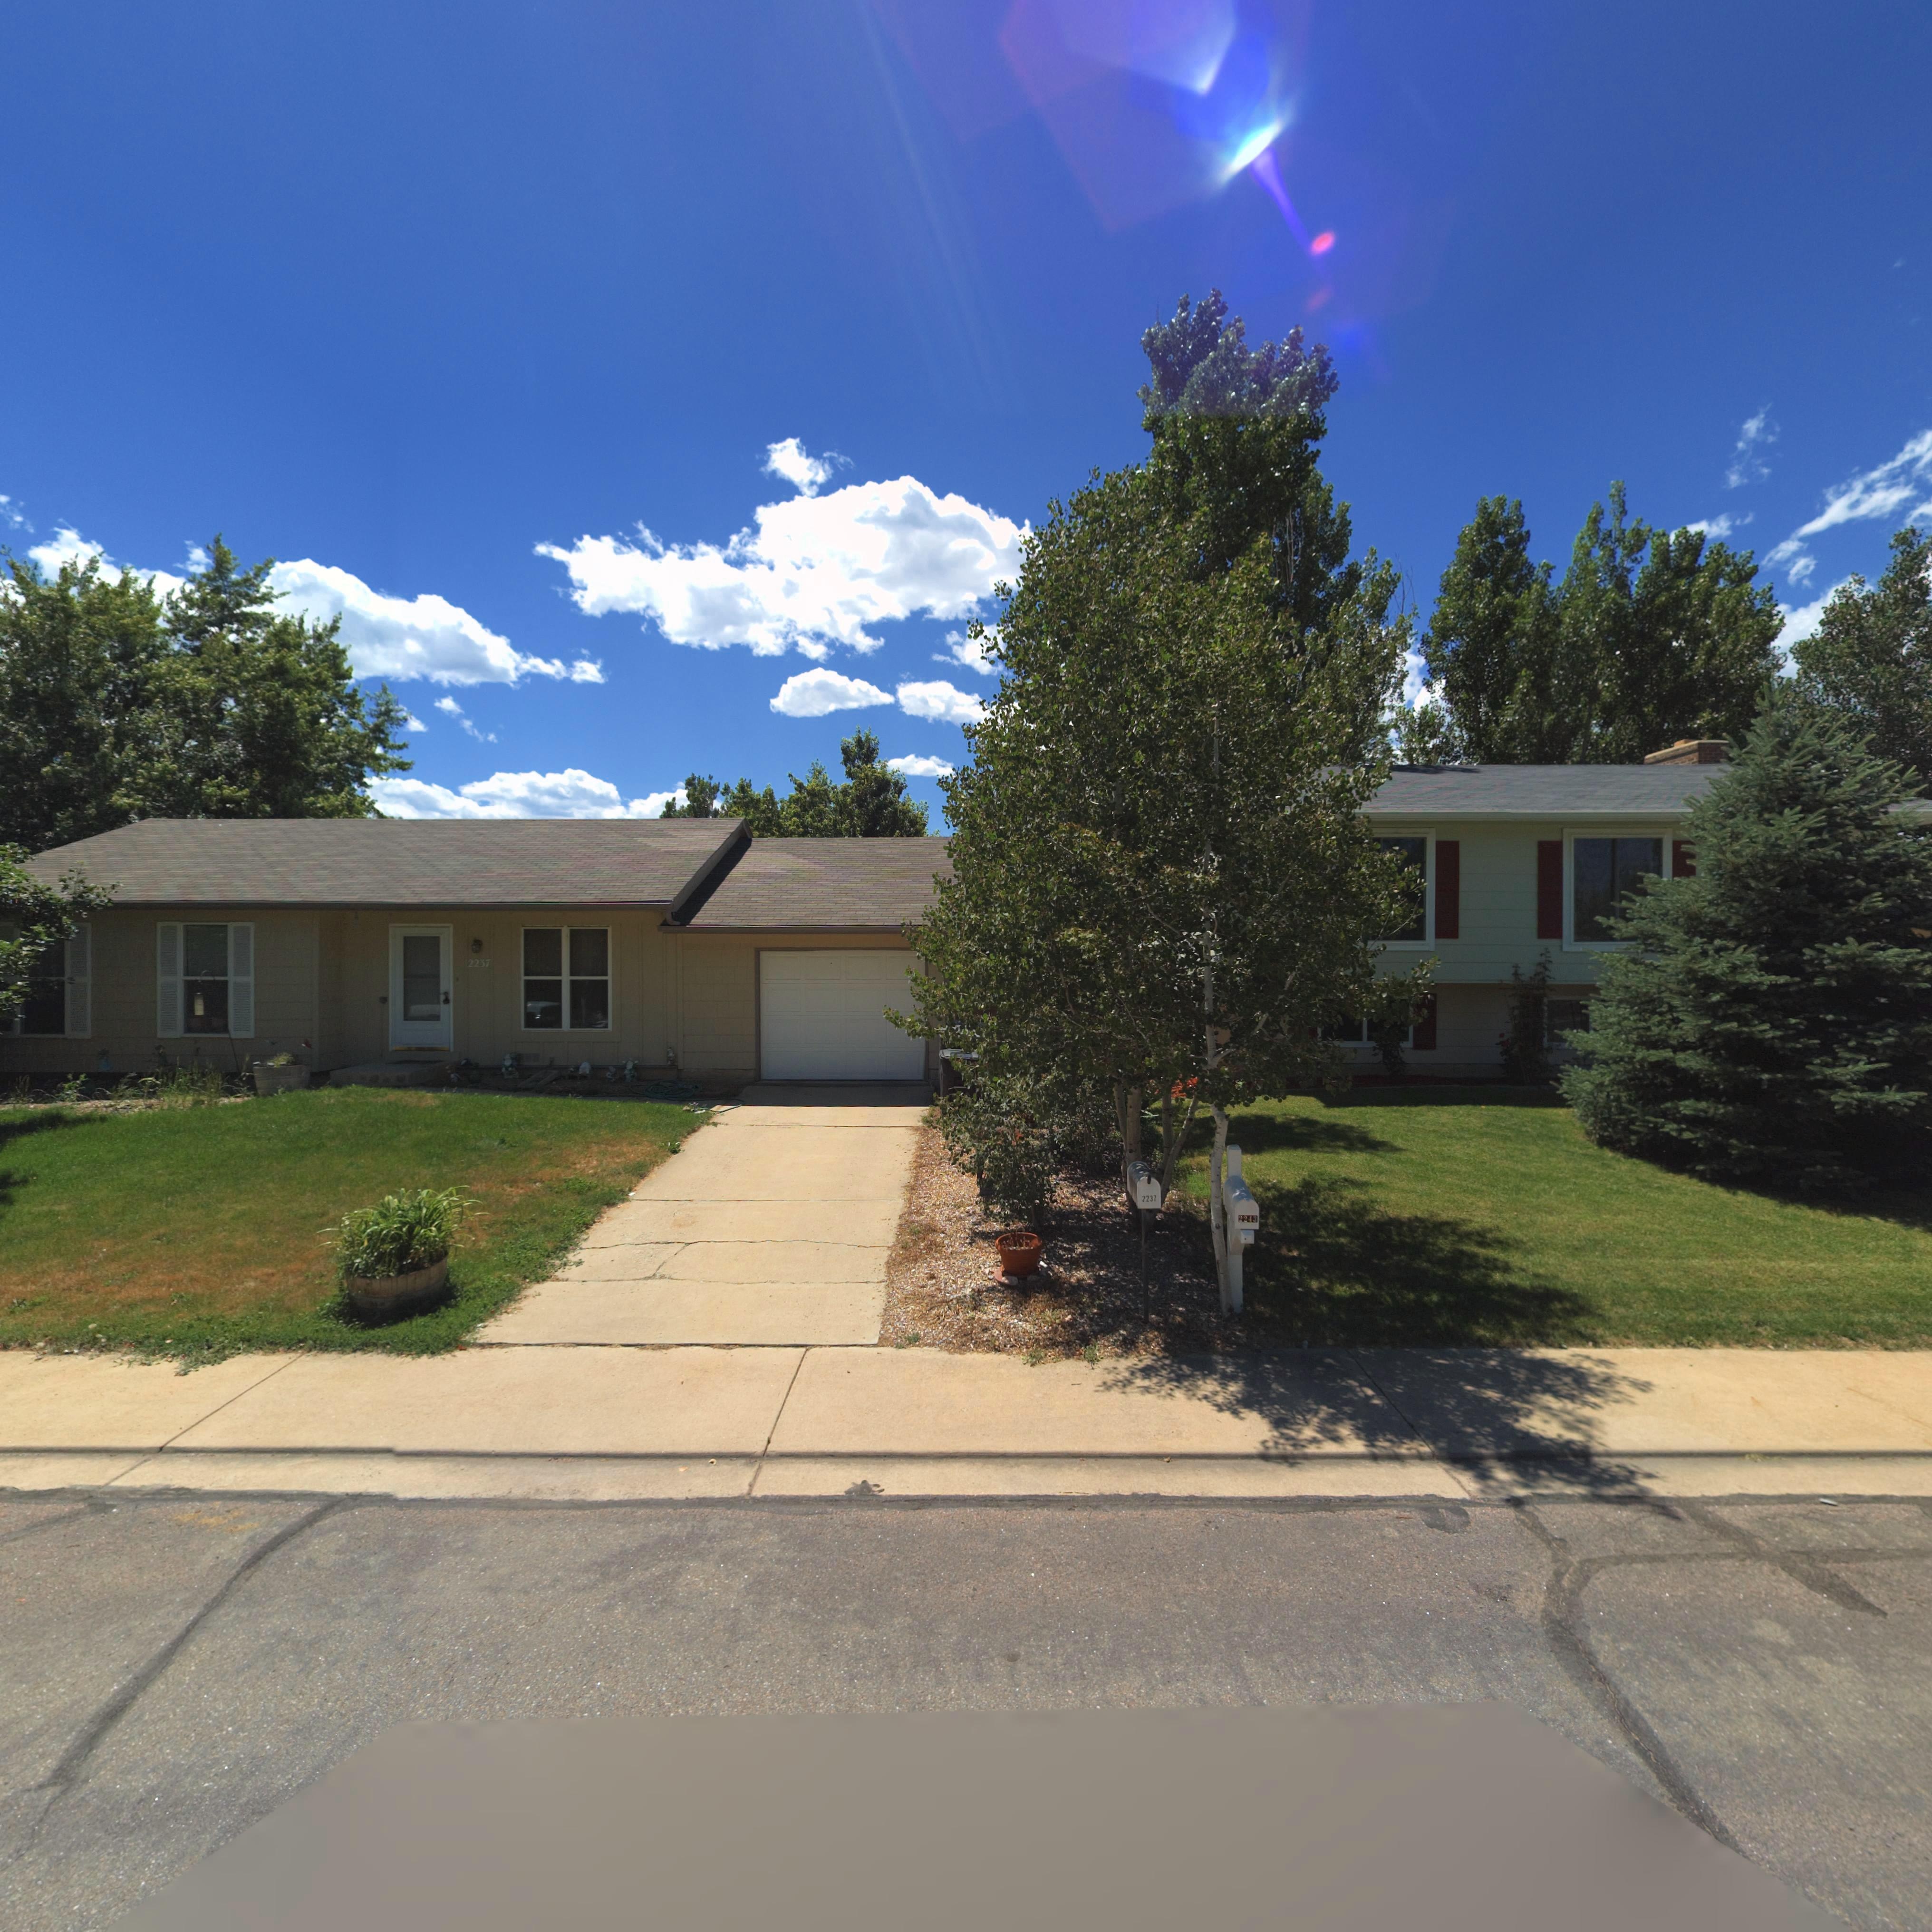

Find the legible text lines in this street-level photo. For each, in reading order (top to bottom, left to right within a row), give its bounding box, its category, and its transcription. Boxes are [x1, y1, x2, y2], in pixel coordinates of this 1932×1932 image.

[467, 958, 491, 967] StreetNumber: 2237
[1141, 1195, 1156, 1202] StreetNumber: 2237
[1238, 1215, 1257, 1223] StreetNumber: 2243